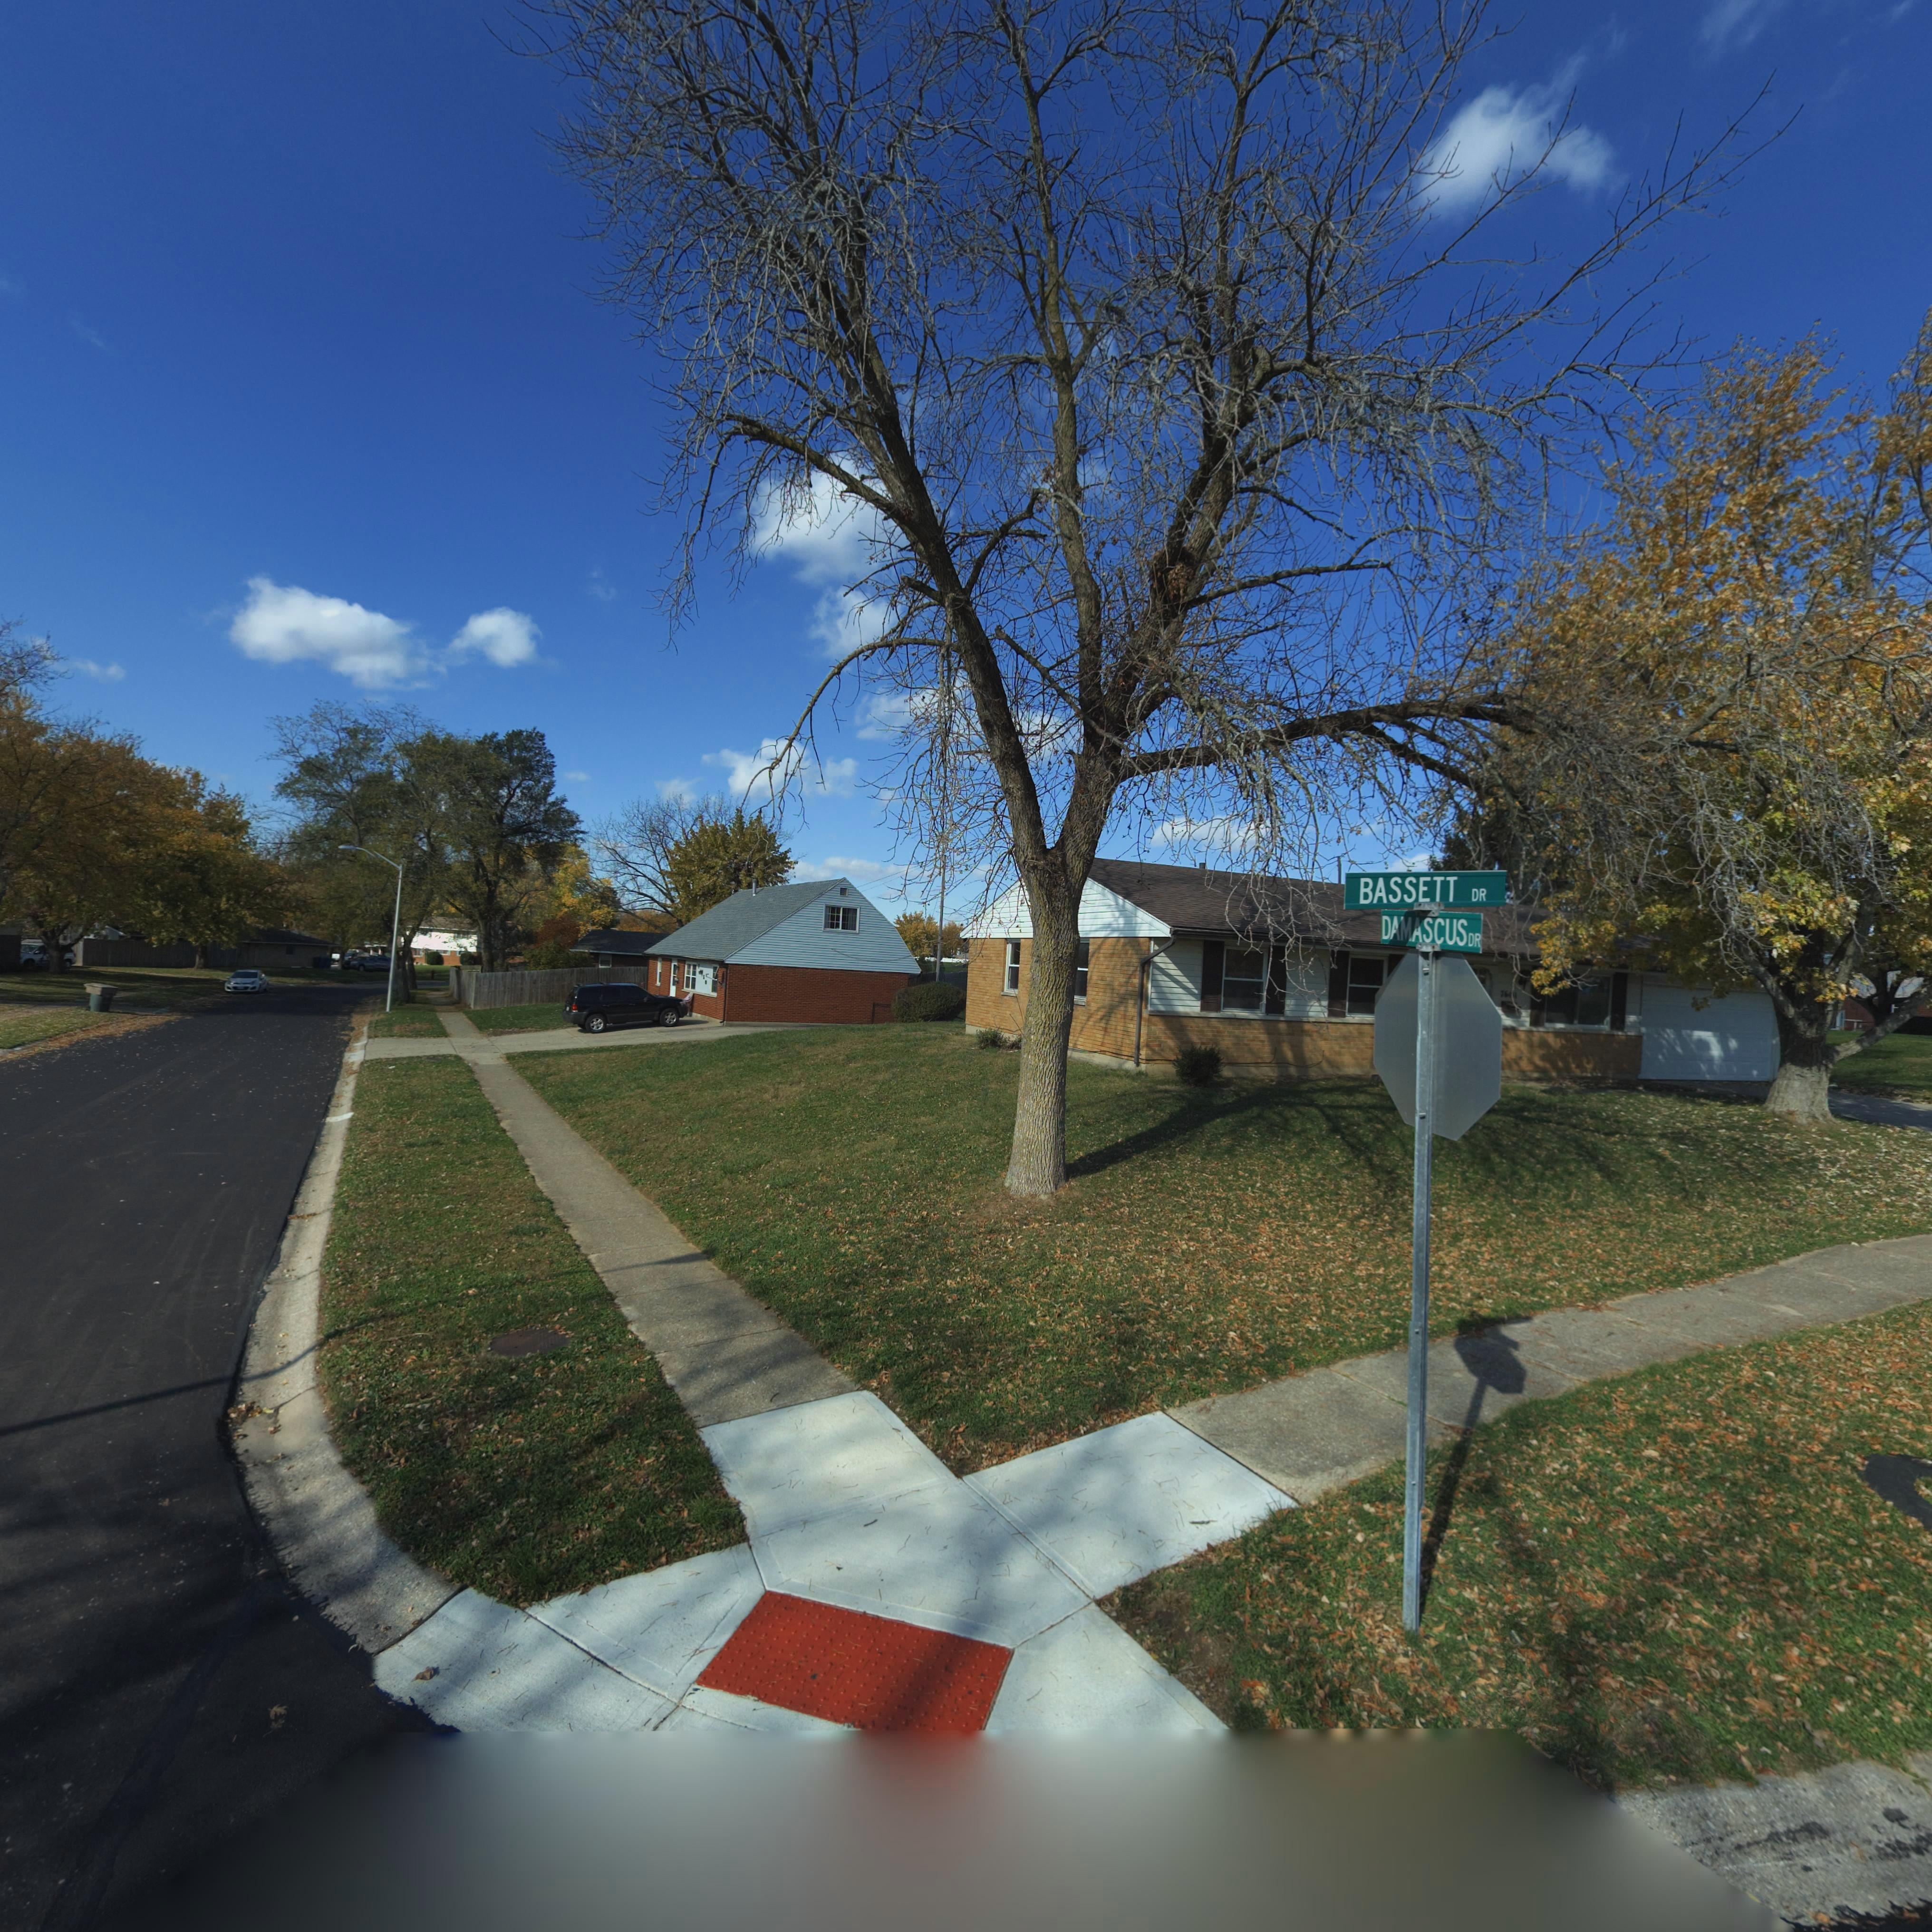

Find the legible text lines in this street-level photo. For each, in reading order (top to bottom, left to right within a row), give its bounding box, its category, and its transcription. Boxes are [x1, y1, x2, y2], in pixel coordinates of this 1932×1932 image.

[1499, 990, 1509, 998] StreetNumber: 76